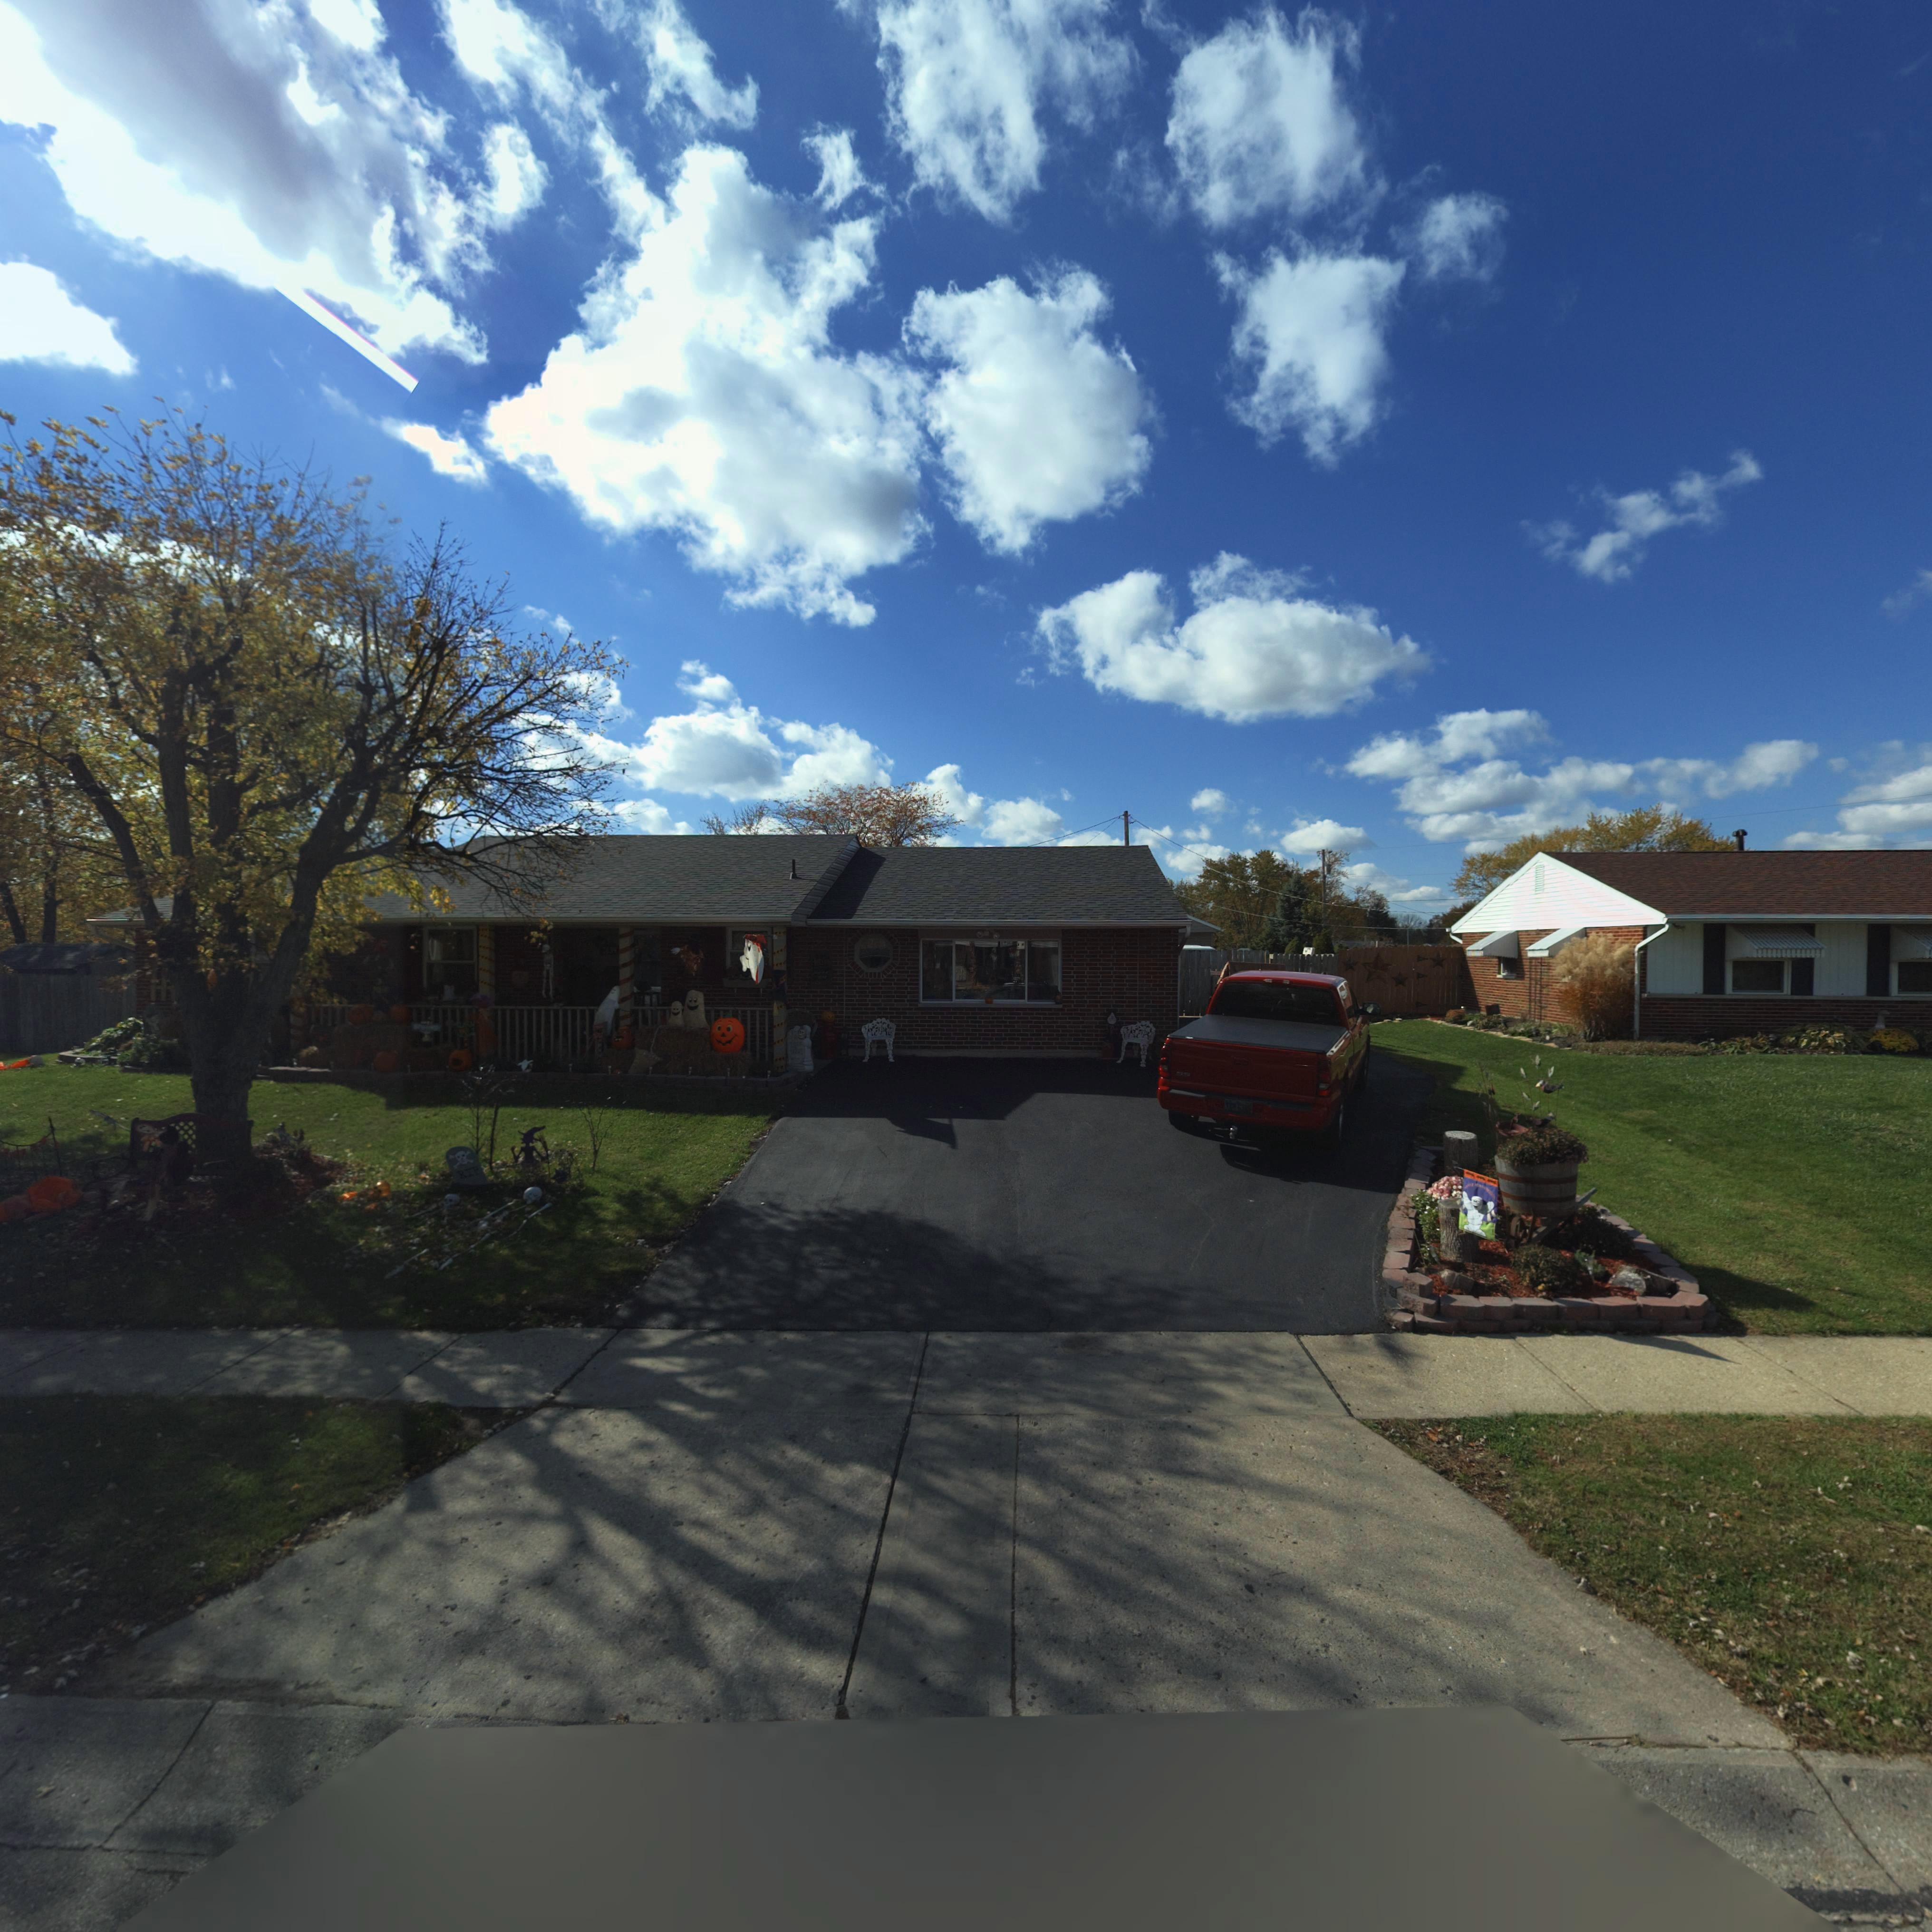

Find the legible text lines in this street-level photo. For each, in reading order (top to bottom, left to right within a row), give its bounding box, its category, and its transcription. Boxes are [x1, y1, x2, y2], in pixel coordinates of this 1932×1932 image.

[601, 946, 618, 955] StreetNumber: 7639